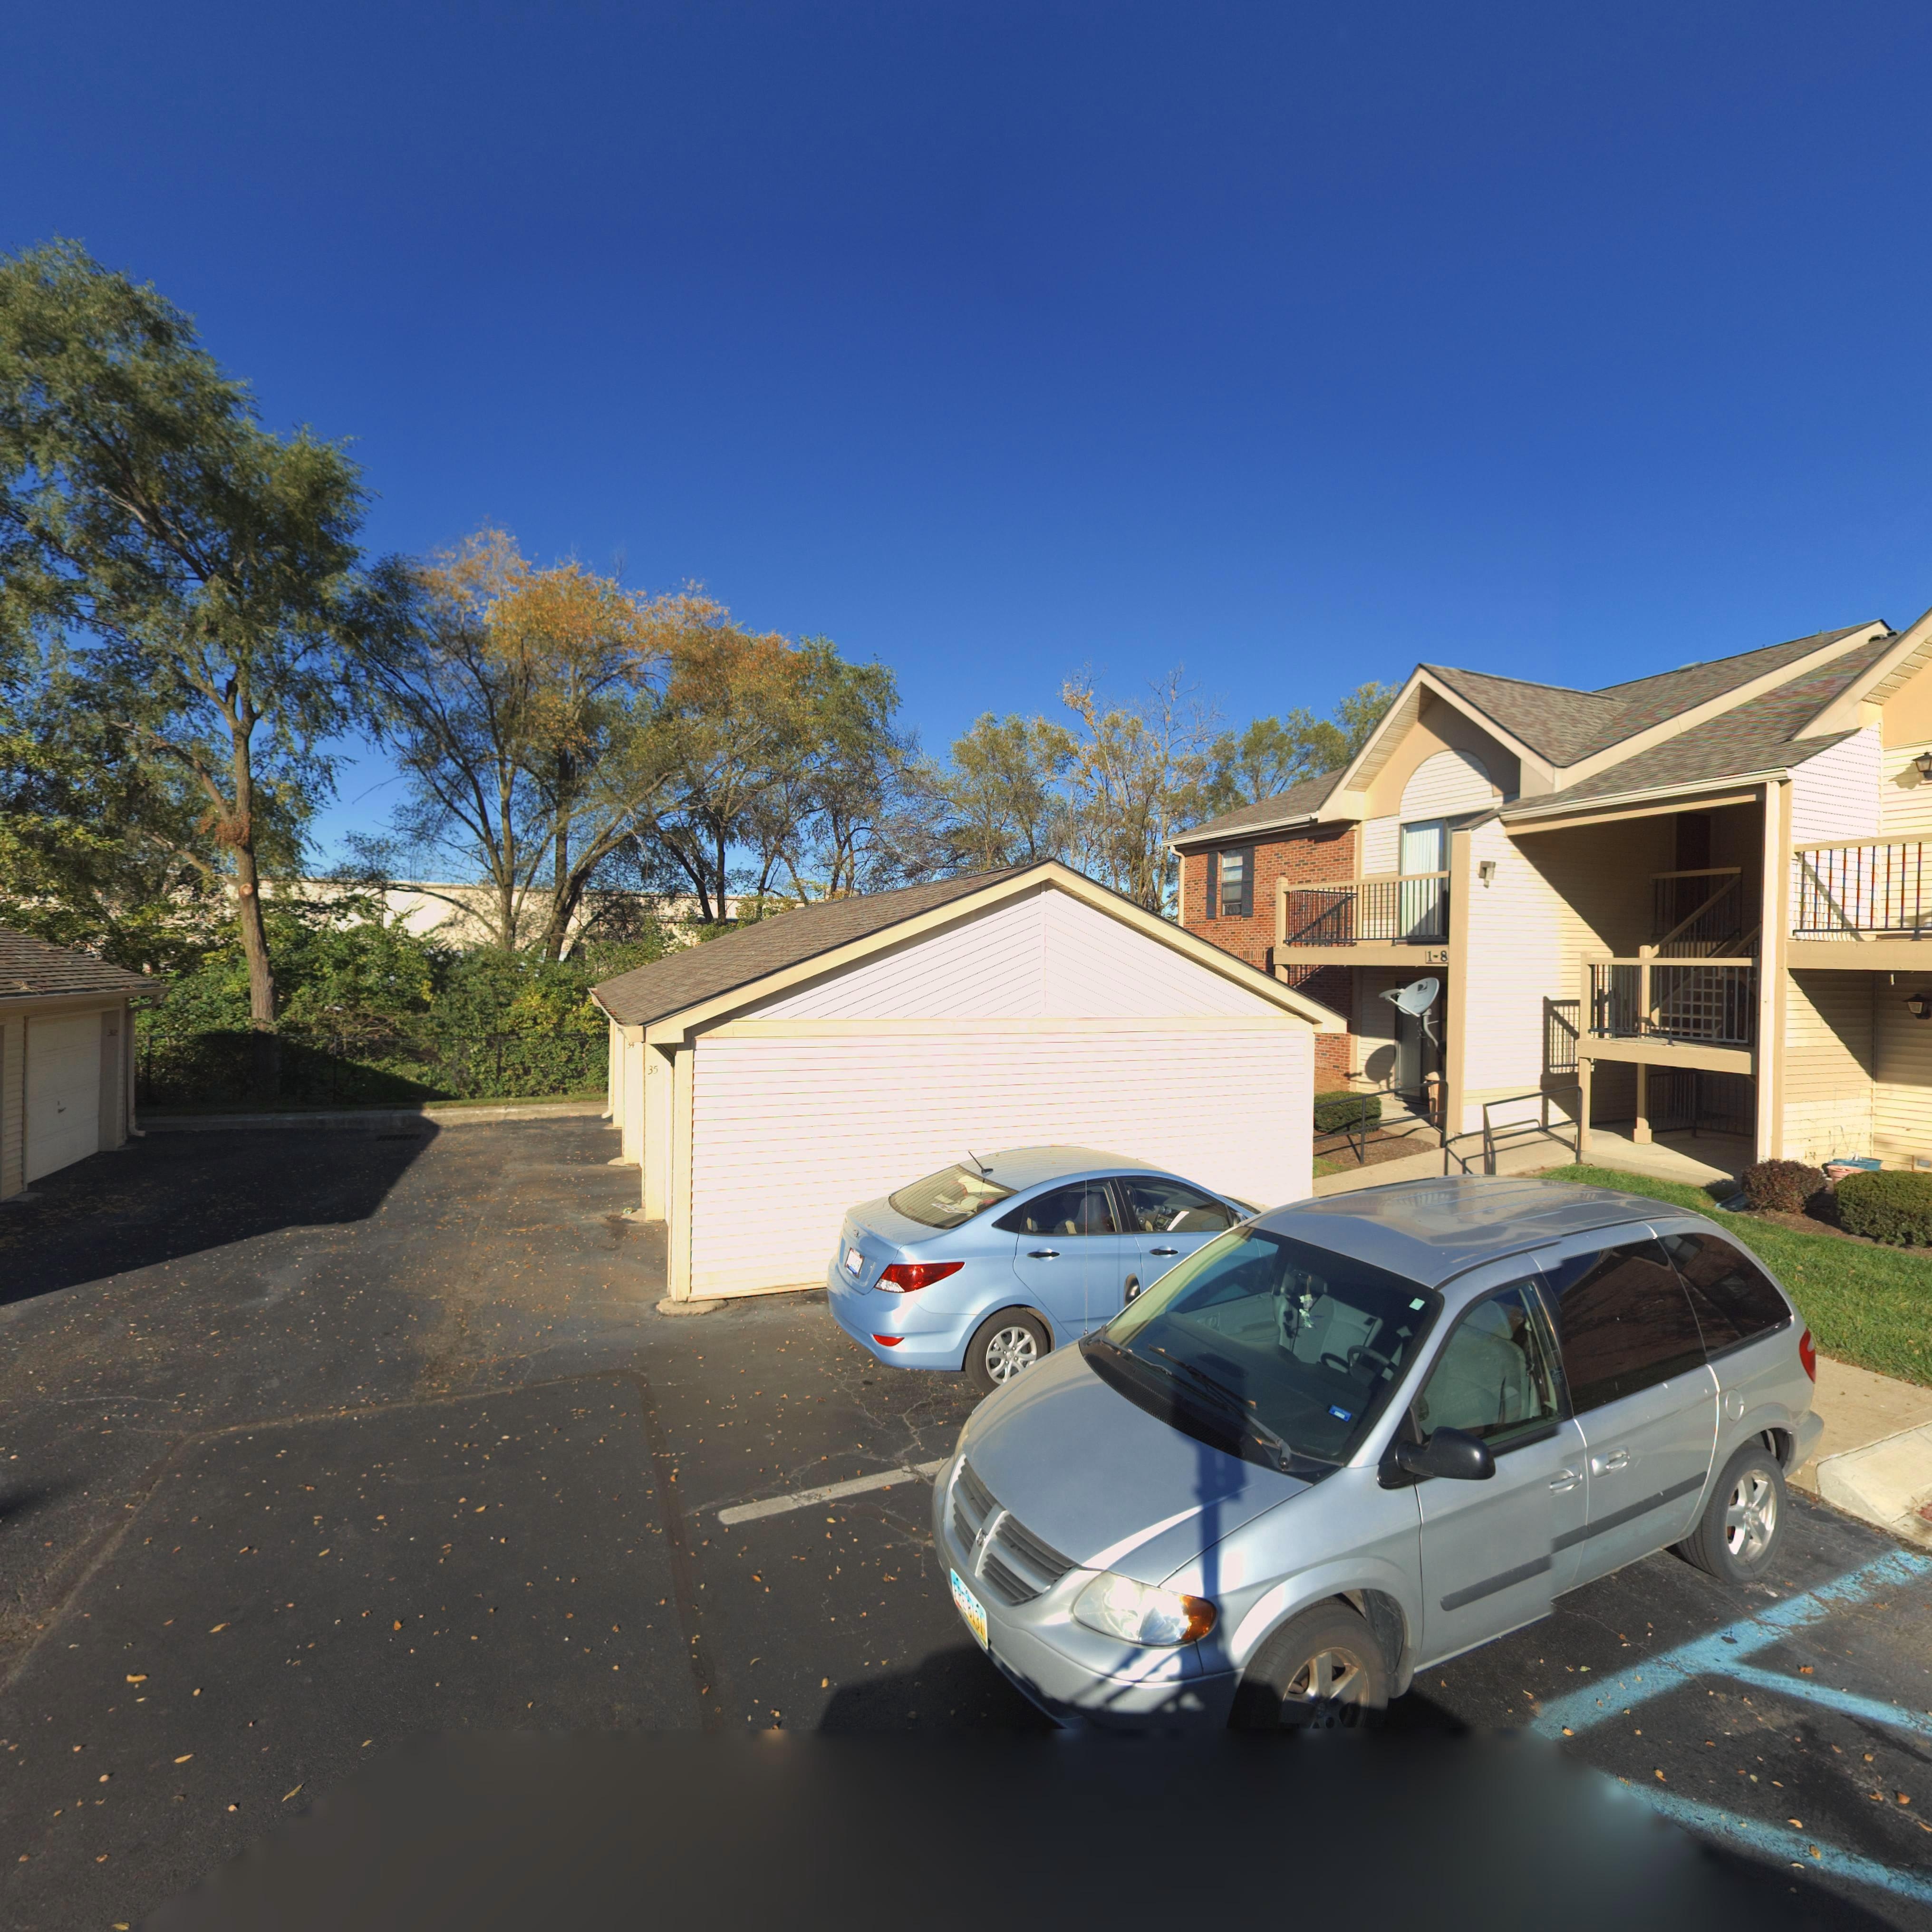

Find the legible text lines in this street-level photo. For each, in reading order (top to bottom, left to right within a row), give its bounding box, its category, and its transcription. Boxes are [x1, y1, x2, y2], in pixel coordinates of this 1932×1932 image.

[1427, 950, 1448, 962] StreetNumber: 1-8
[106, 1027, 118, 1037] StreetNumber: 32
[627, 1039, 634, 1048] StreetNumber: 34
[647, 1063, 658, 1075] StreetNumber: 35